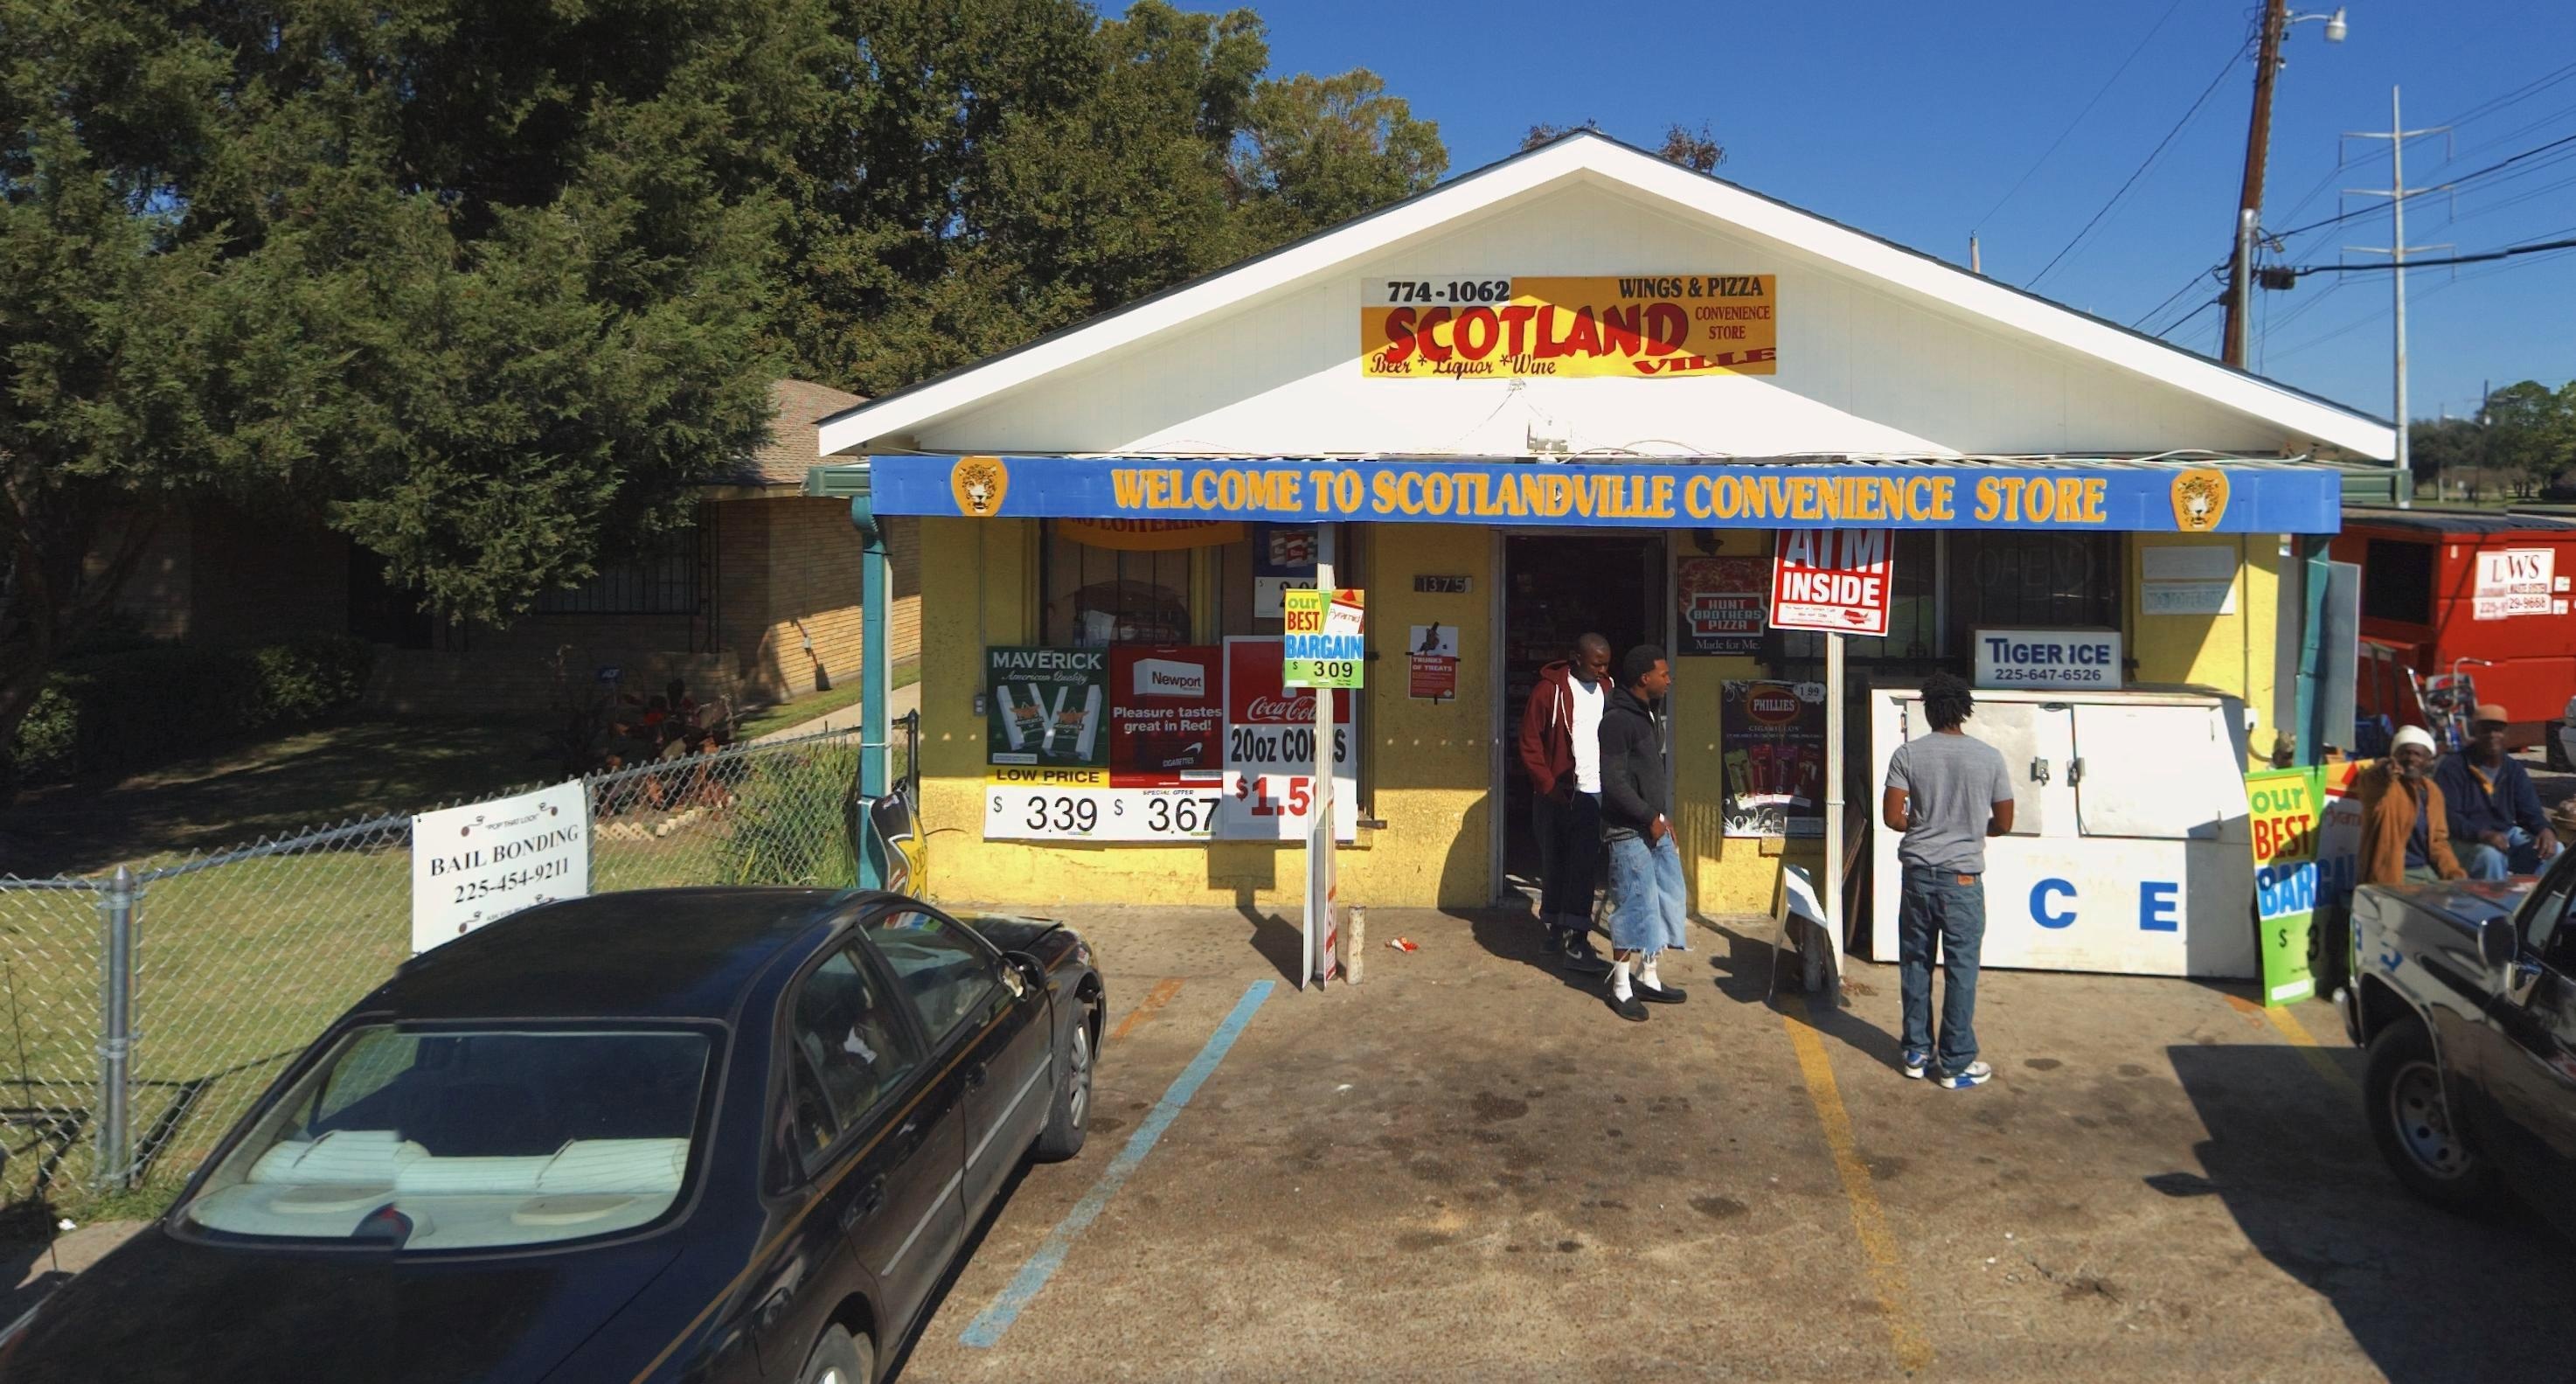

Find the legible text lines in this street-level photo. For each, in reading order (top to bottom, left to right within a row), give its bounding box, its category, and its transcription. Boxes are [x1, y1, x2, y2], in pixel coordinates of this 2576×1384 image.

[1387, 280, 1510, 302] None: 774-1062
[1618, 275, 1765, 299] None: WINGS & PIZZA
[1694, 305, 1772, 322] None: CONVENIENCE
[1385, 301, 1776, 376] None: SCOTLANDVILLE
[1708, 325, 1746, 340] None: STORE
[1369, 351, 1557, 381] None: Beer * Liquor * Wine
[1109, 467, 2110, 525] BusinessName: Scotlandville Convenience Store
[1972, 543, 2073, 588] None: OPEN
[2491, 553, 2540, 583] None: LWS
[1422, 576, 1465, 593] None: 1375
[1781, 569, 1882, 609] None: INSIDE
[1287, 597, 1319, 609] None: our
[1287, 610, 1321, 631] None: BEST
[1328, 607, 1362, 625] None: Pyramid
[1707, 598, 1748, 610] None: HUNT
[1693, 609, 1763, 621] None: BROTHERS
[1707, 618, 1750, 632] None: PIZZA
[2509, 596, 2548, 610] None: 29-9668
[993, 651, 1103, 671] None: MAVERICK
[1151, 670, 1203, 689] None: Newport
[1285, 634, 1364, 660] None: BARGAIN
[1312, 660, 1354, 679] None: 3.09
[1412, 656, 1444, 664] None: TRUNKS
[1412, 664, 1454, 672] None: OF TREATS
[1695, 637, 1763, 651] None: Made of Me.
[1993, 668, 2102, 682] None: 225-647-6526
[1984, 636, 2112, 666] None: TIGER ICE
[1800, 685, 1821, 698] None: 1.99
[1113, 706, 1223, 719] None: Pleasure tastes
[1246, 694, 1316, 722] None: Coca-Co*
[1752, 697, 1796, 713] None: PHILLIES
[1123, 719, 1212, 736] None: great in Red!
[1230, 726, 1348, 764] None: 20ozCO*S
[996, 769, 1101, 784] None: LOW PRICE
[1251, 776, 1310, 817] None: 1.5
[2250, 784, 2306, 815] None: our
[1026, 795, 1098, 832] None: 3.39
[1147, 797, 1221, 834] None: 3.67
[2318, 803, 2367, 831] None: Pyram
[2253, 812, 2311, 861] None: BEST
[431, 822, 580, 880] BusinessName: BAIL BONDING
[451, 854, 571, 908] None: 225-454-9211
[2256, 858, 2331, 918] None: BARG
[2027, 877, 2179, 935] None: CE
[2304, 922, 2322, 963] None: 3